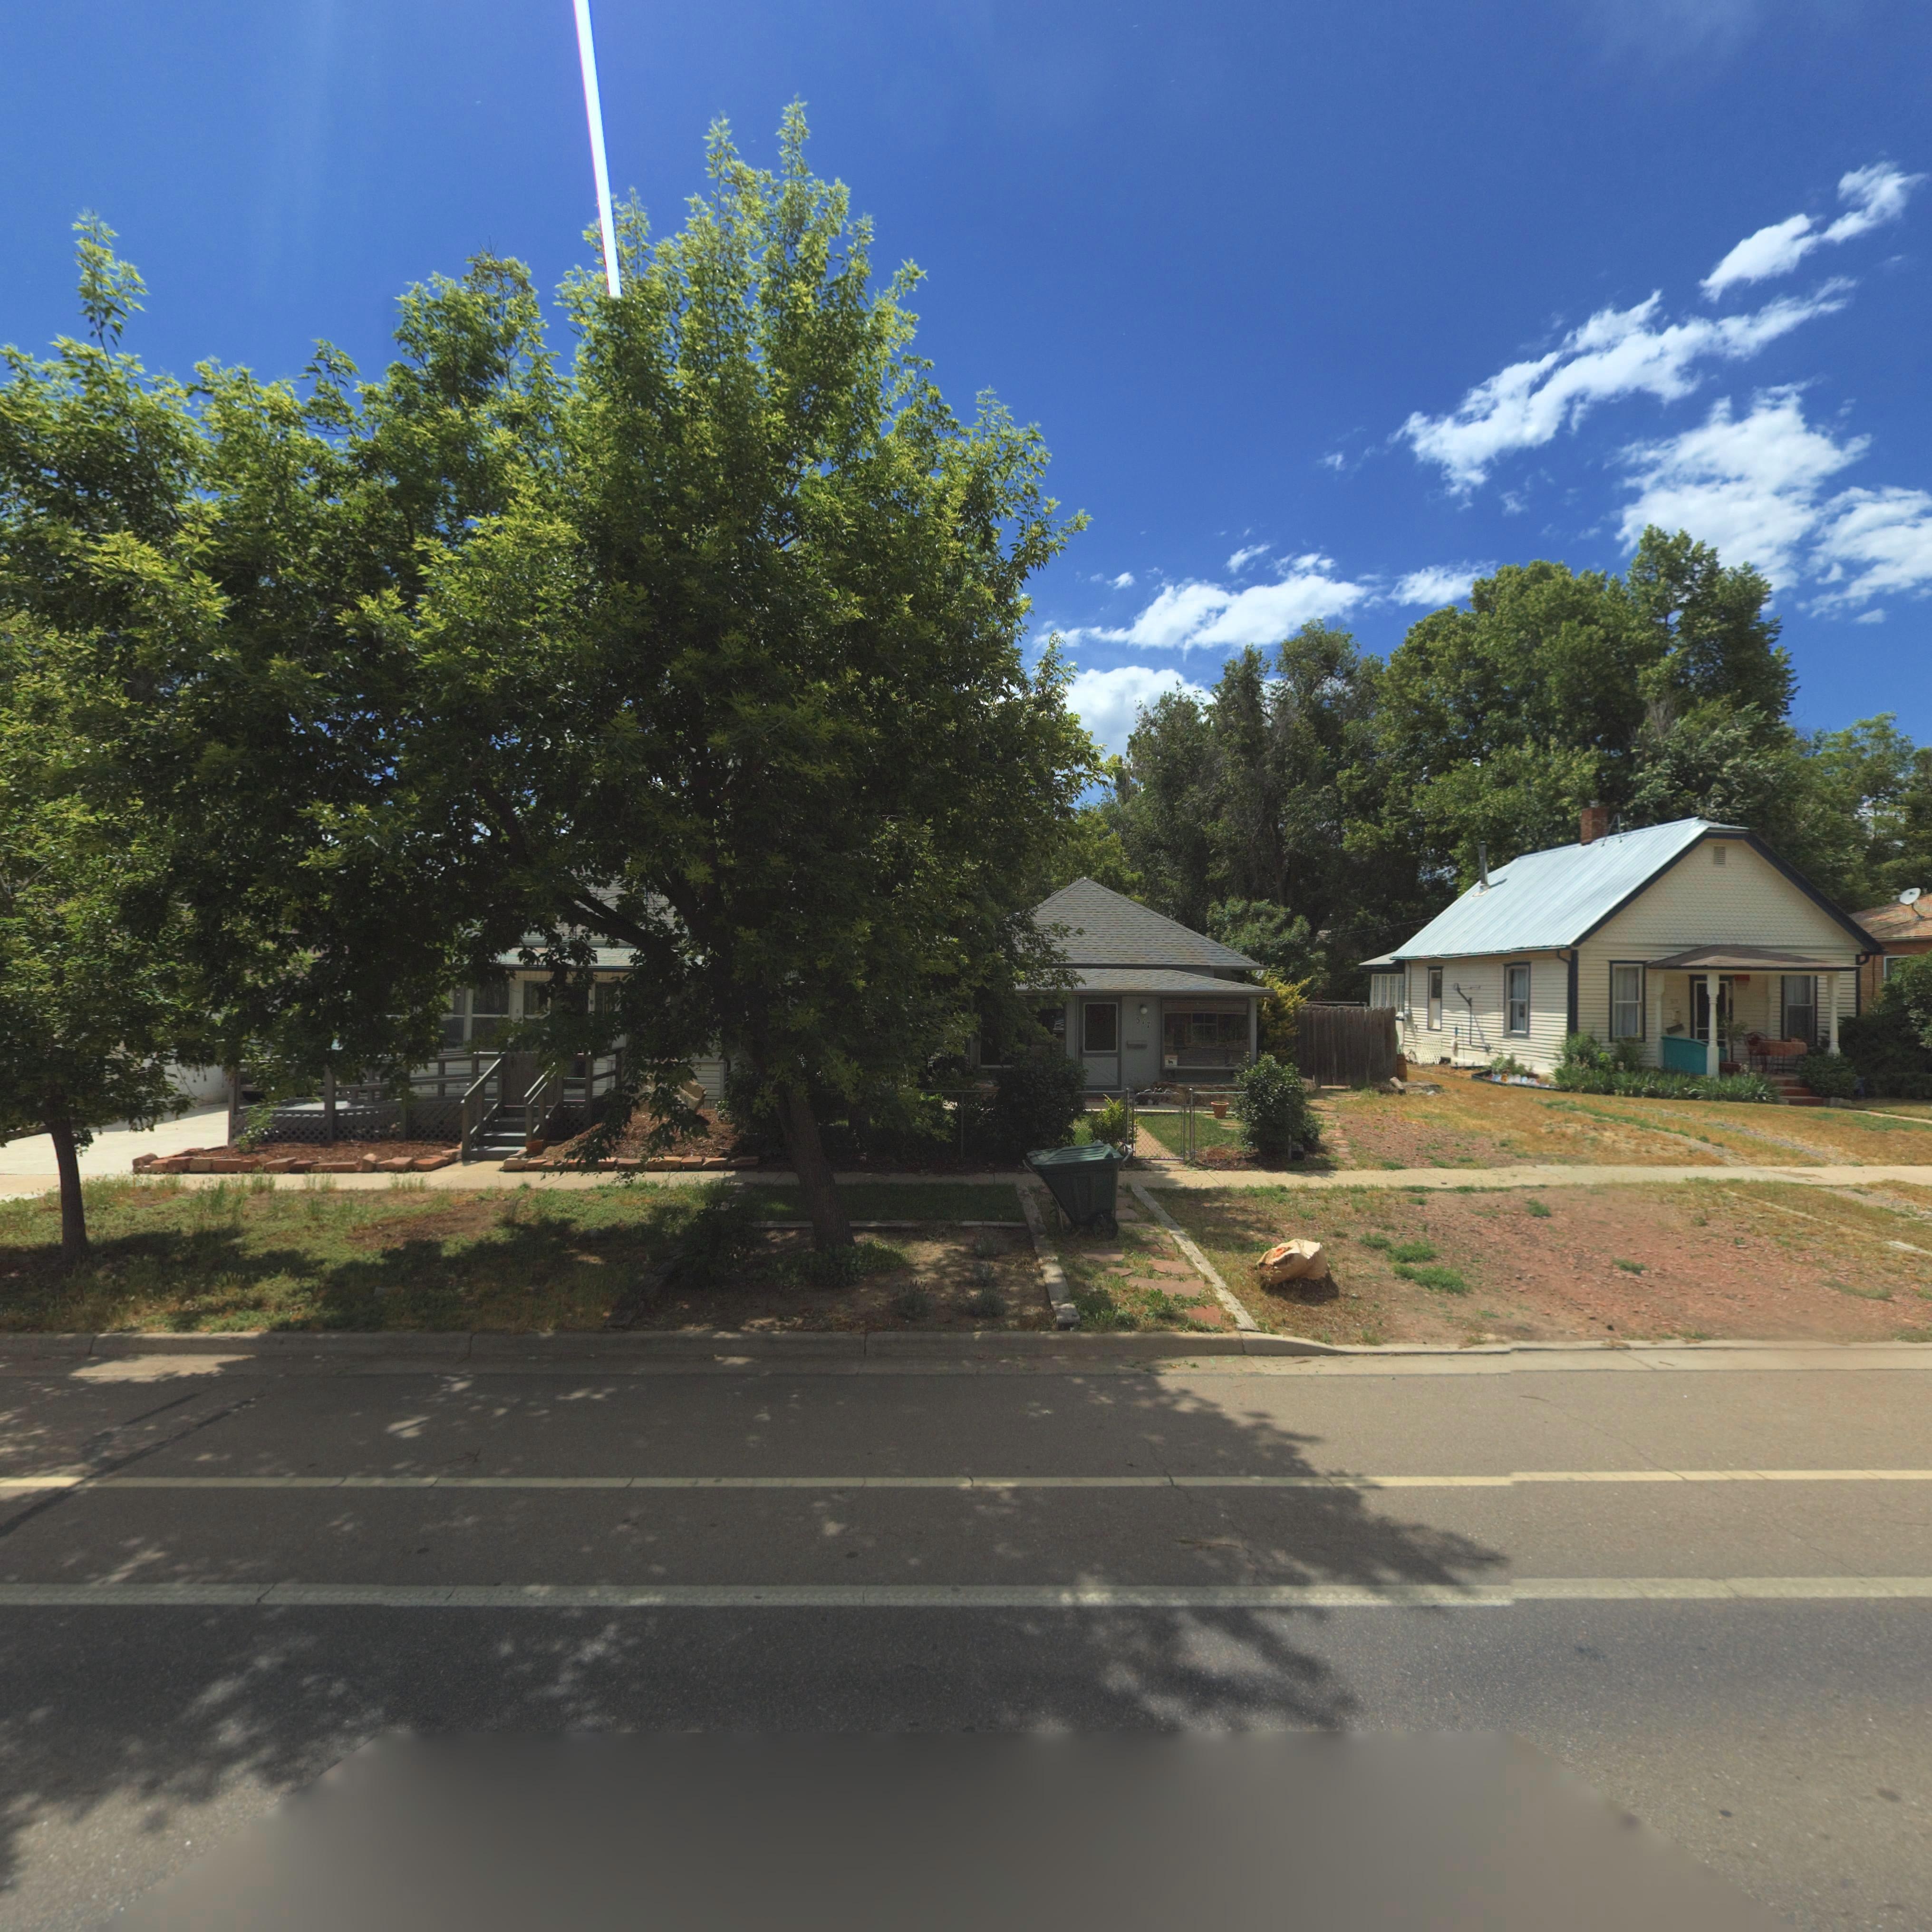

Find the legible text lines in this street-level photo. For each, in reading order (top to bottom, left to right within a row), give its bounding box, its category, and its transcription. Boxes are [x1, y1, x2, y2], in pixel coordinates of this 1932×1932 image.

[1135, 1015, 1151, 1028] StreetNumber: 517